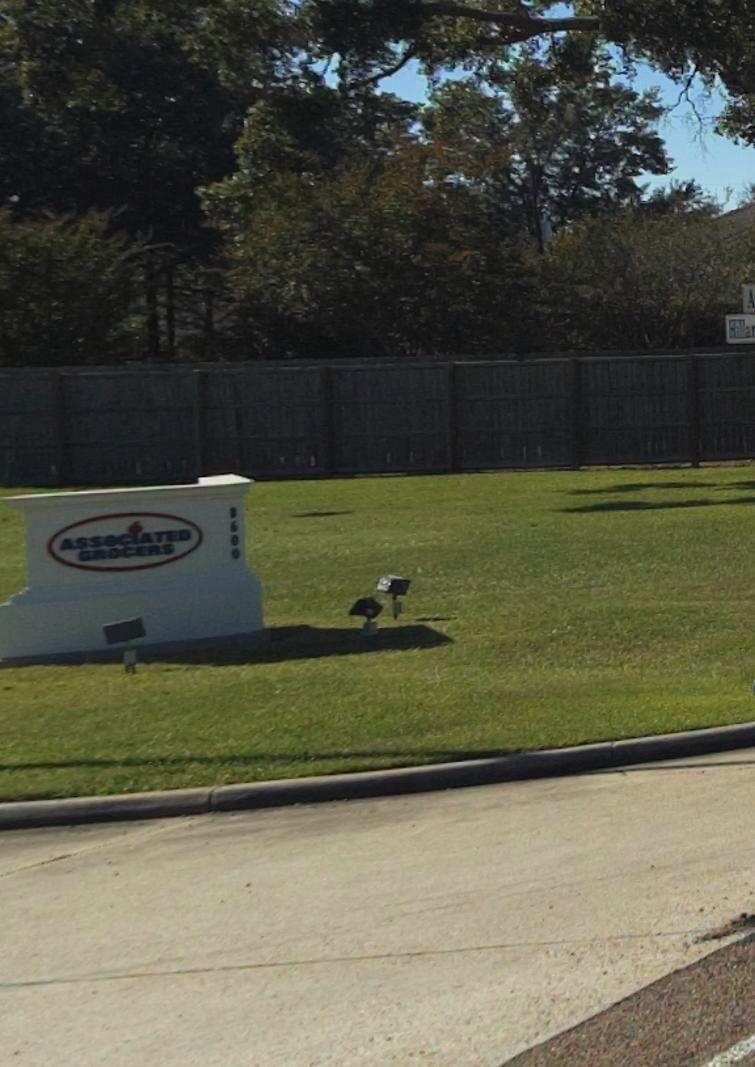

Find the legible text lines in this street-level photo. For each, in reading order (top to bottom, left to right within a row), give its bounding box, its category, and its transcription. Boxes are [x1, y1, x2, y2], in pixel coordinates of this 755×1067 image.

[58, 528, 192, 552] BusinessName: ASSOCIATED
[77, 542, 175, 562] BusinessName: GROCERS
[228, 506, 240, 562] StreetNumber: 8600